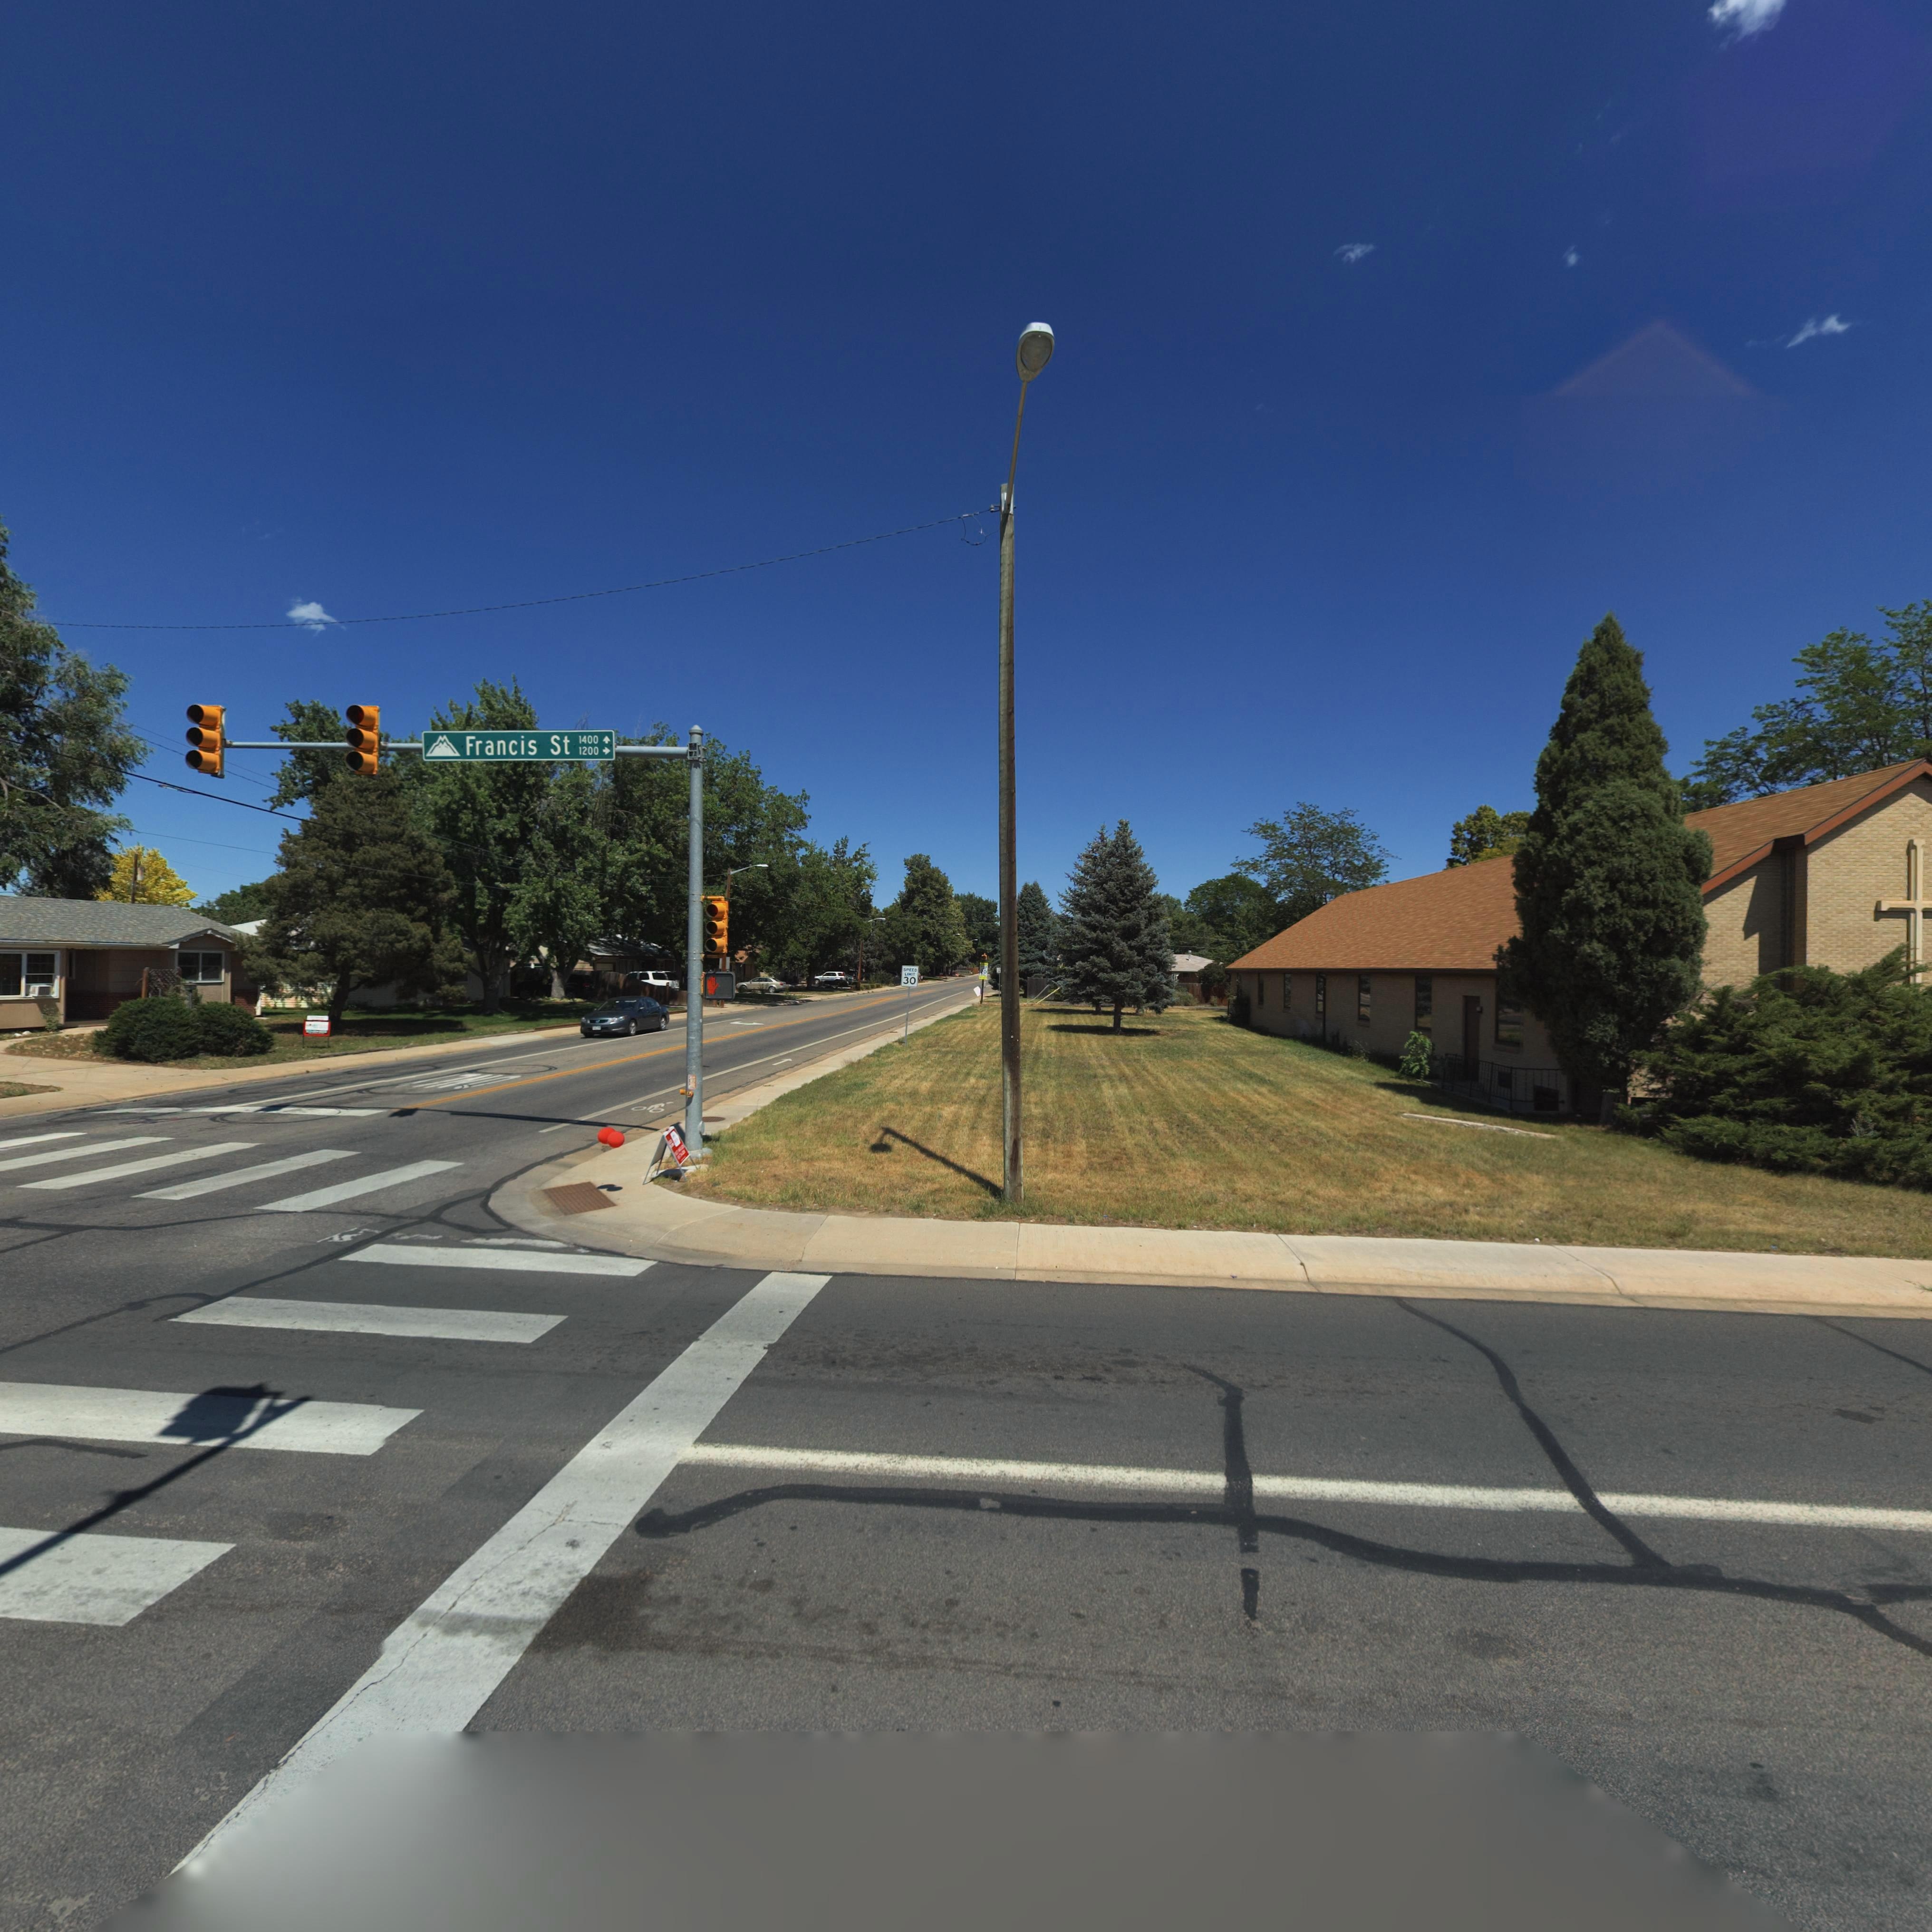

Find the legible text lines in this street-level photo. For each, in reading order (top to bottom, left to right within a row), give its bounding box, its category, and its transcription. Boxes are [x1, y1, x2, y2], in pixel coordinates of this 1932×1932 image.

[579, 734, 599, 744] StreetNumberRange: 1400
[465, 734, 571, 755] StreetName: Francis St
[578, 746, 611, 755] StreetNumberRange: 1200->